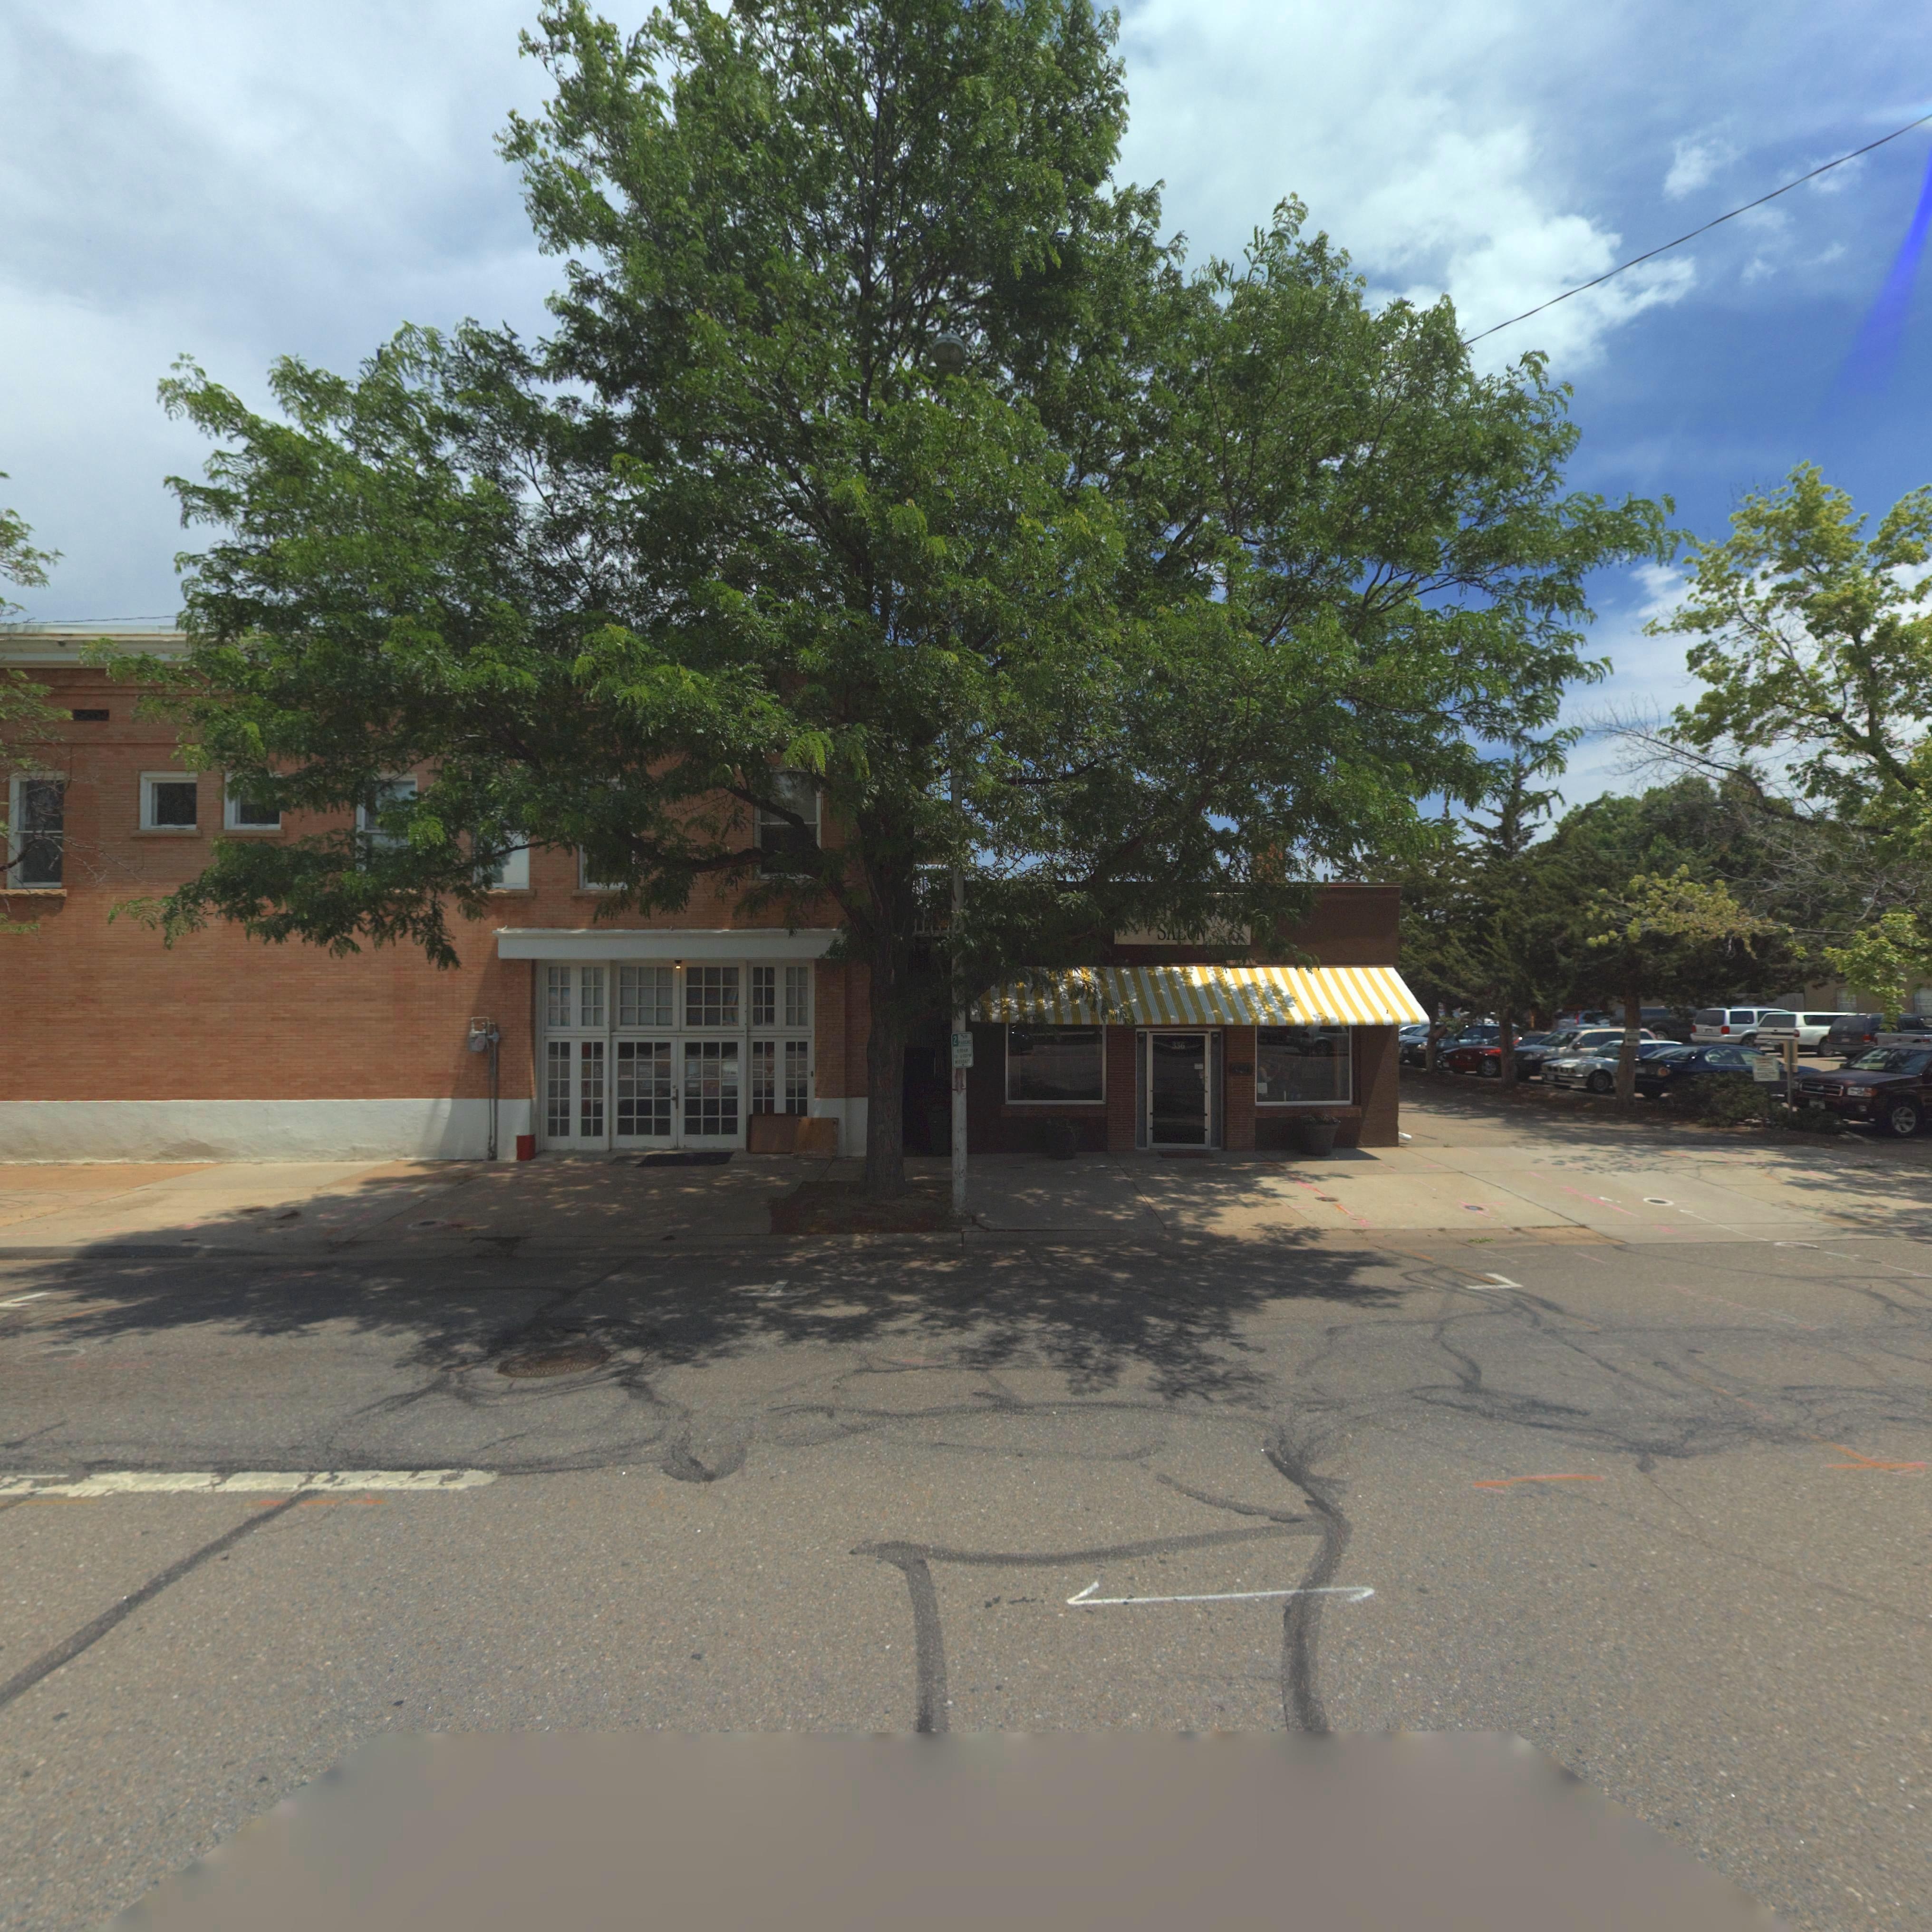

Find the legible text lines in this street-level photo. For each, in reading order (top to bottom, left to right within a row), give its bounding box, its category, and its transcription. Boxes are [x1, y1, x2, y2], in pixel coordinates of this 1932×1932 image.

[1157, 919, 1206, 940] BusinessName: S***N
[1171, 1042, 1185, 1050] StreetNumber: 336